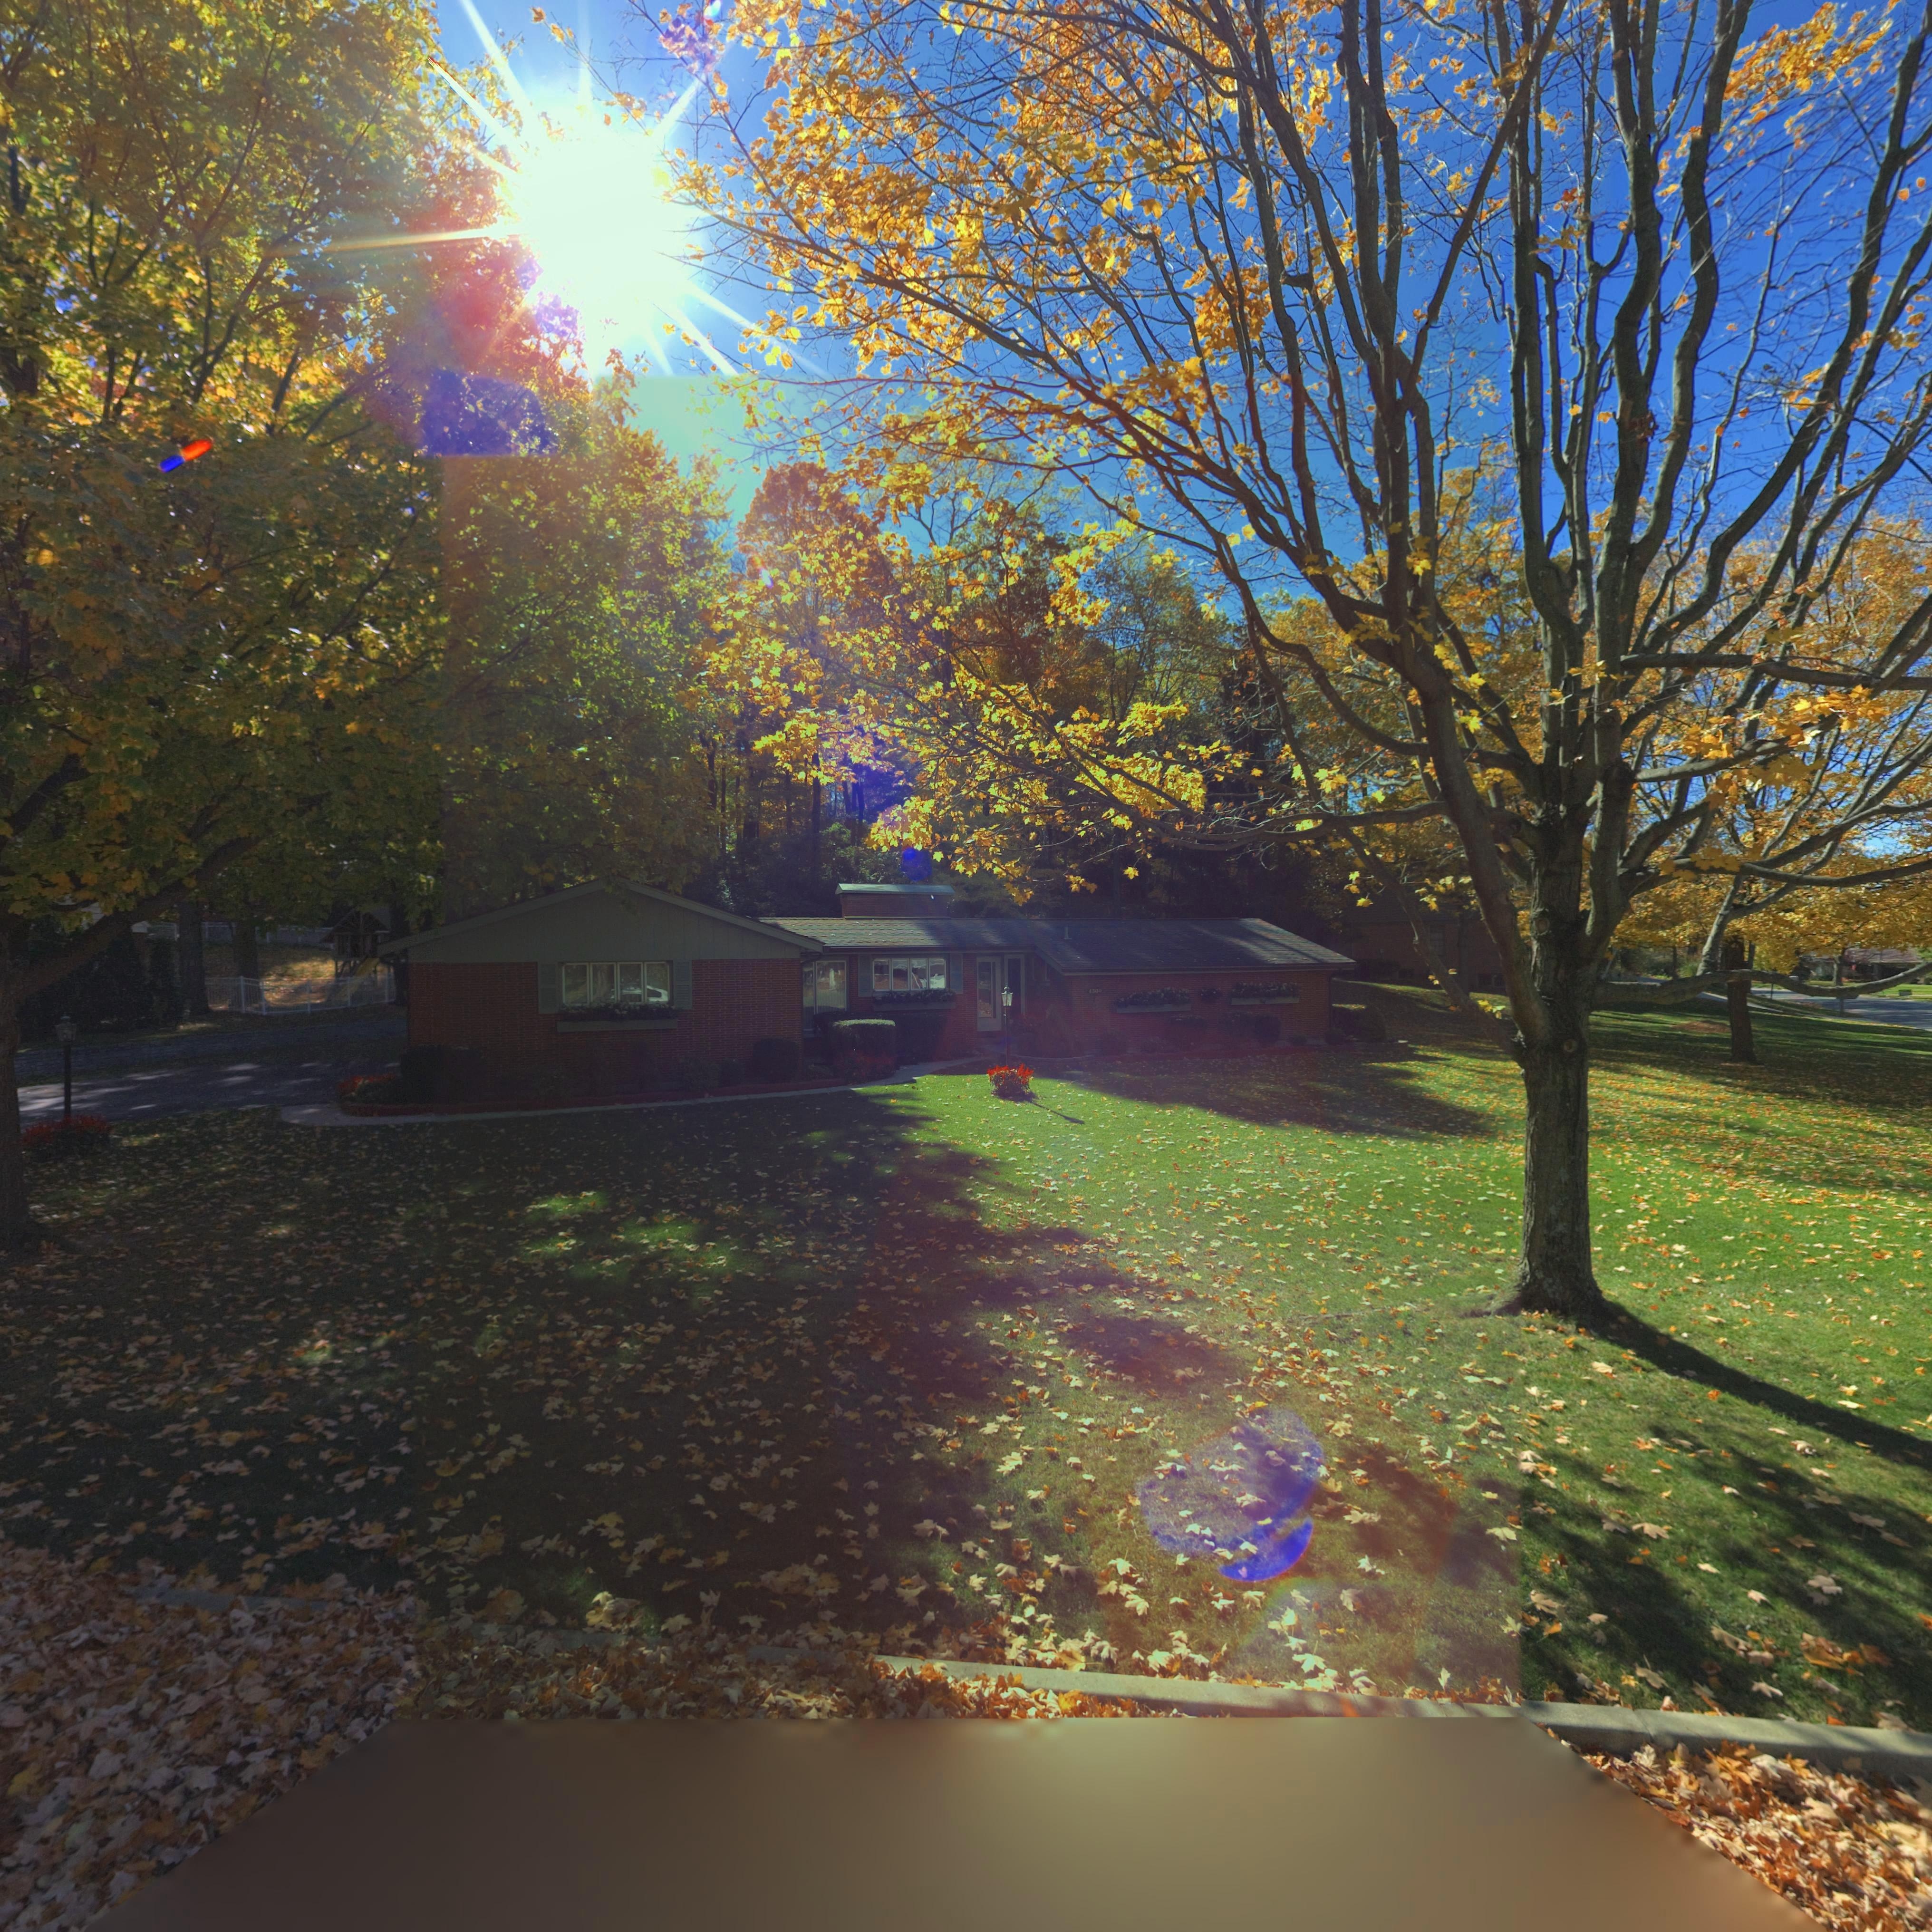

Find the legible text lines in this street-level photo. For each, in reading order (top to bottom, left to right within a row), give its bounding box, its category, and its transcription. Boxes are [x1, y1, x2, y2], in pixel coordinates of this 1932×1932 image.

[1088, 988, 1102, 994] StreetNumber: 4300